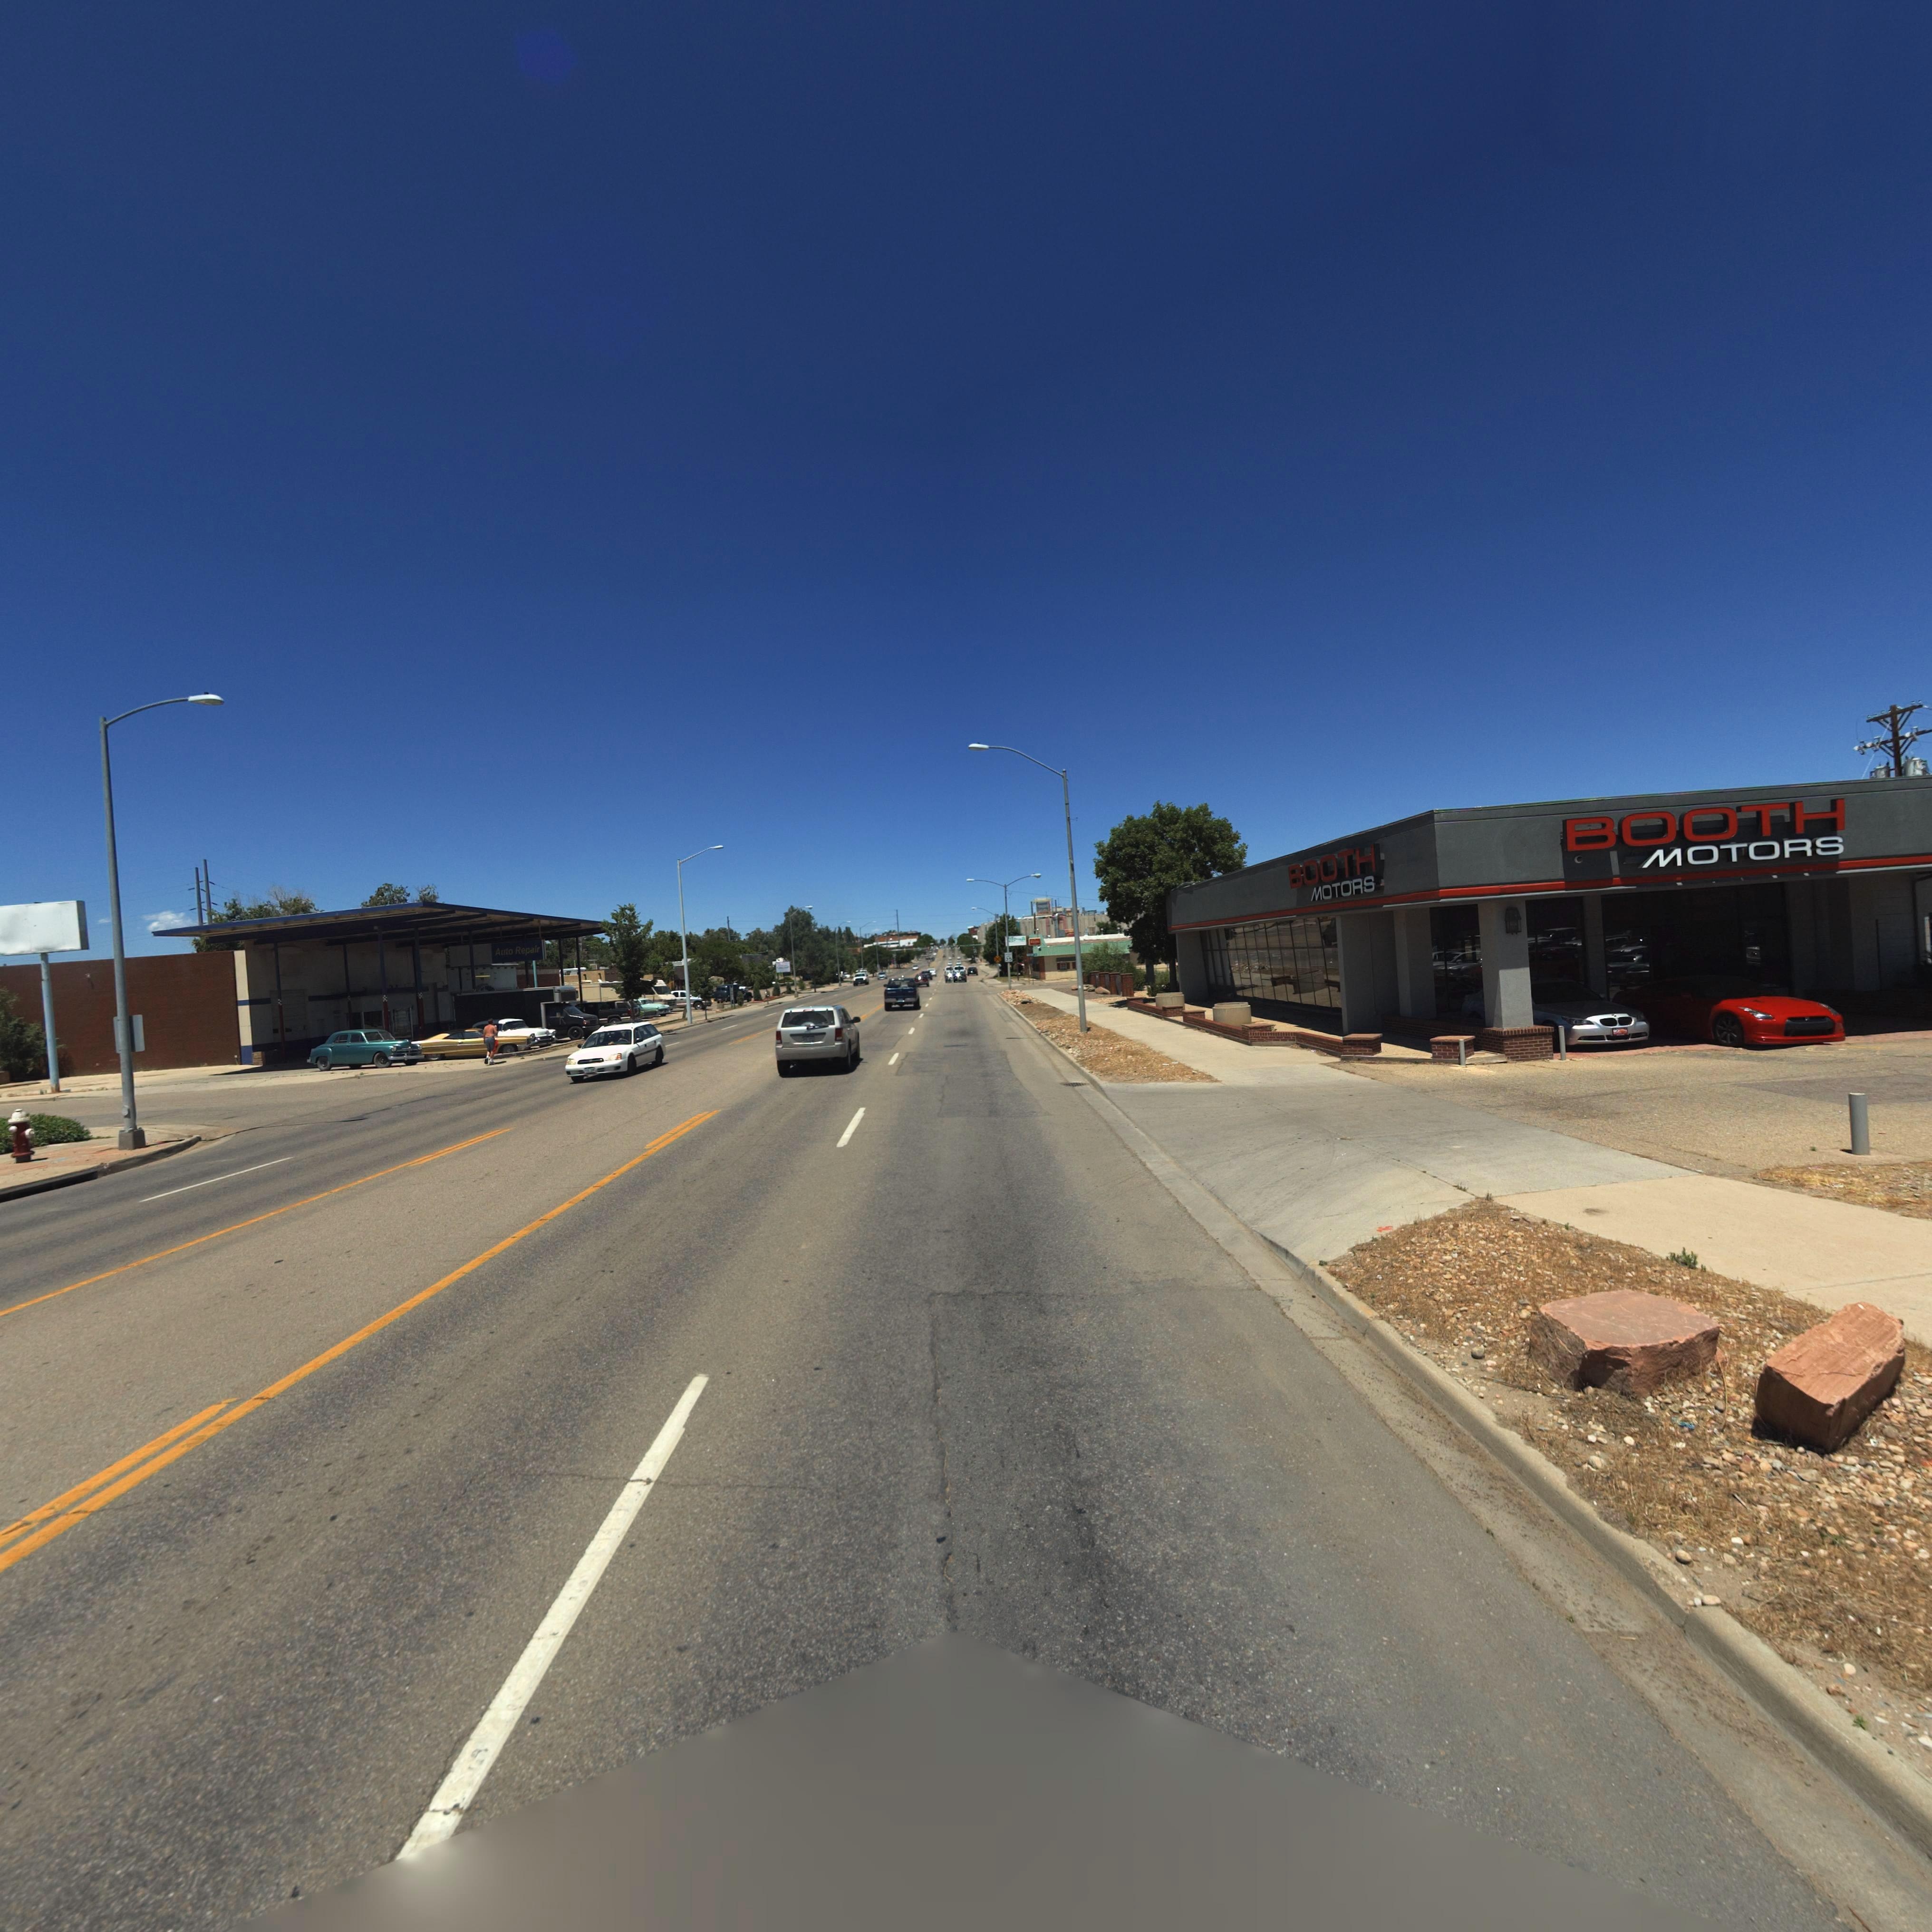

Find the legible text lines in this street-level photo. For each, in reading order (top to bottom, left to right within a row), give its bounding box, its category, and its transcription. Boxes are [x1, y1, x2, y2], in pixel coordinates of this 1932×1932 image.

[1564, 796, 1847, 852] BusinessName: BOOTH
[1286, 841, 1377, 890] BusinessName: BOOTH
[1309, 875, 1378, 903] BusinessName: MOTORS
[1637, 834, 1846, 869] BusinessName: MOTORS